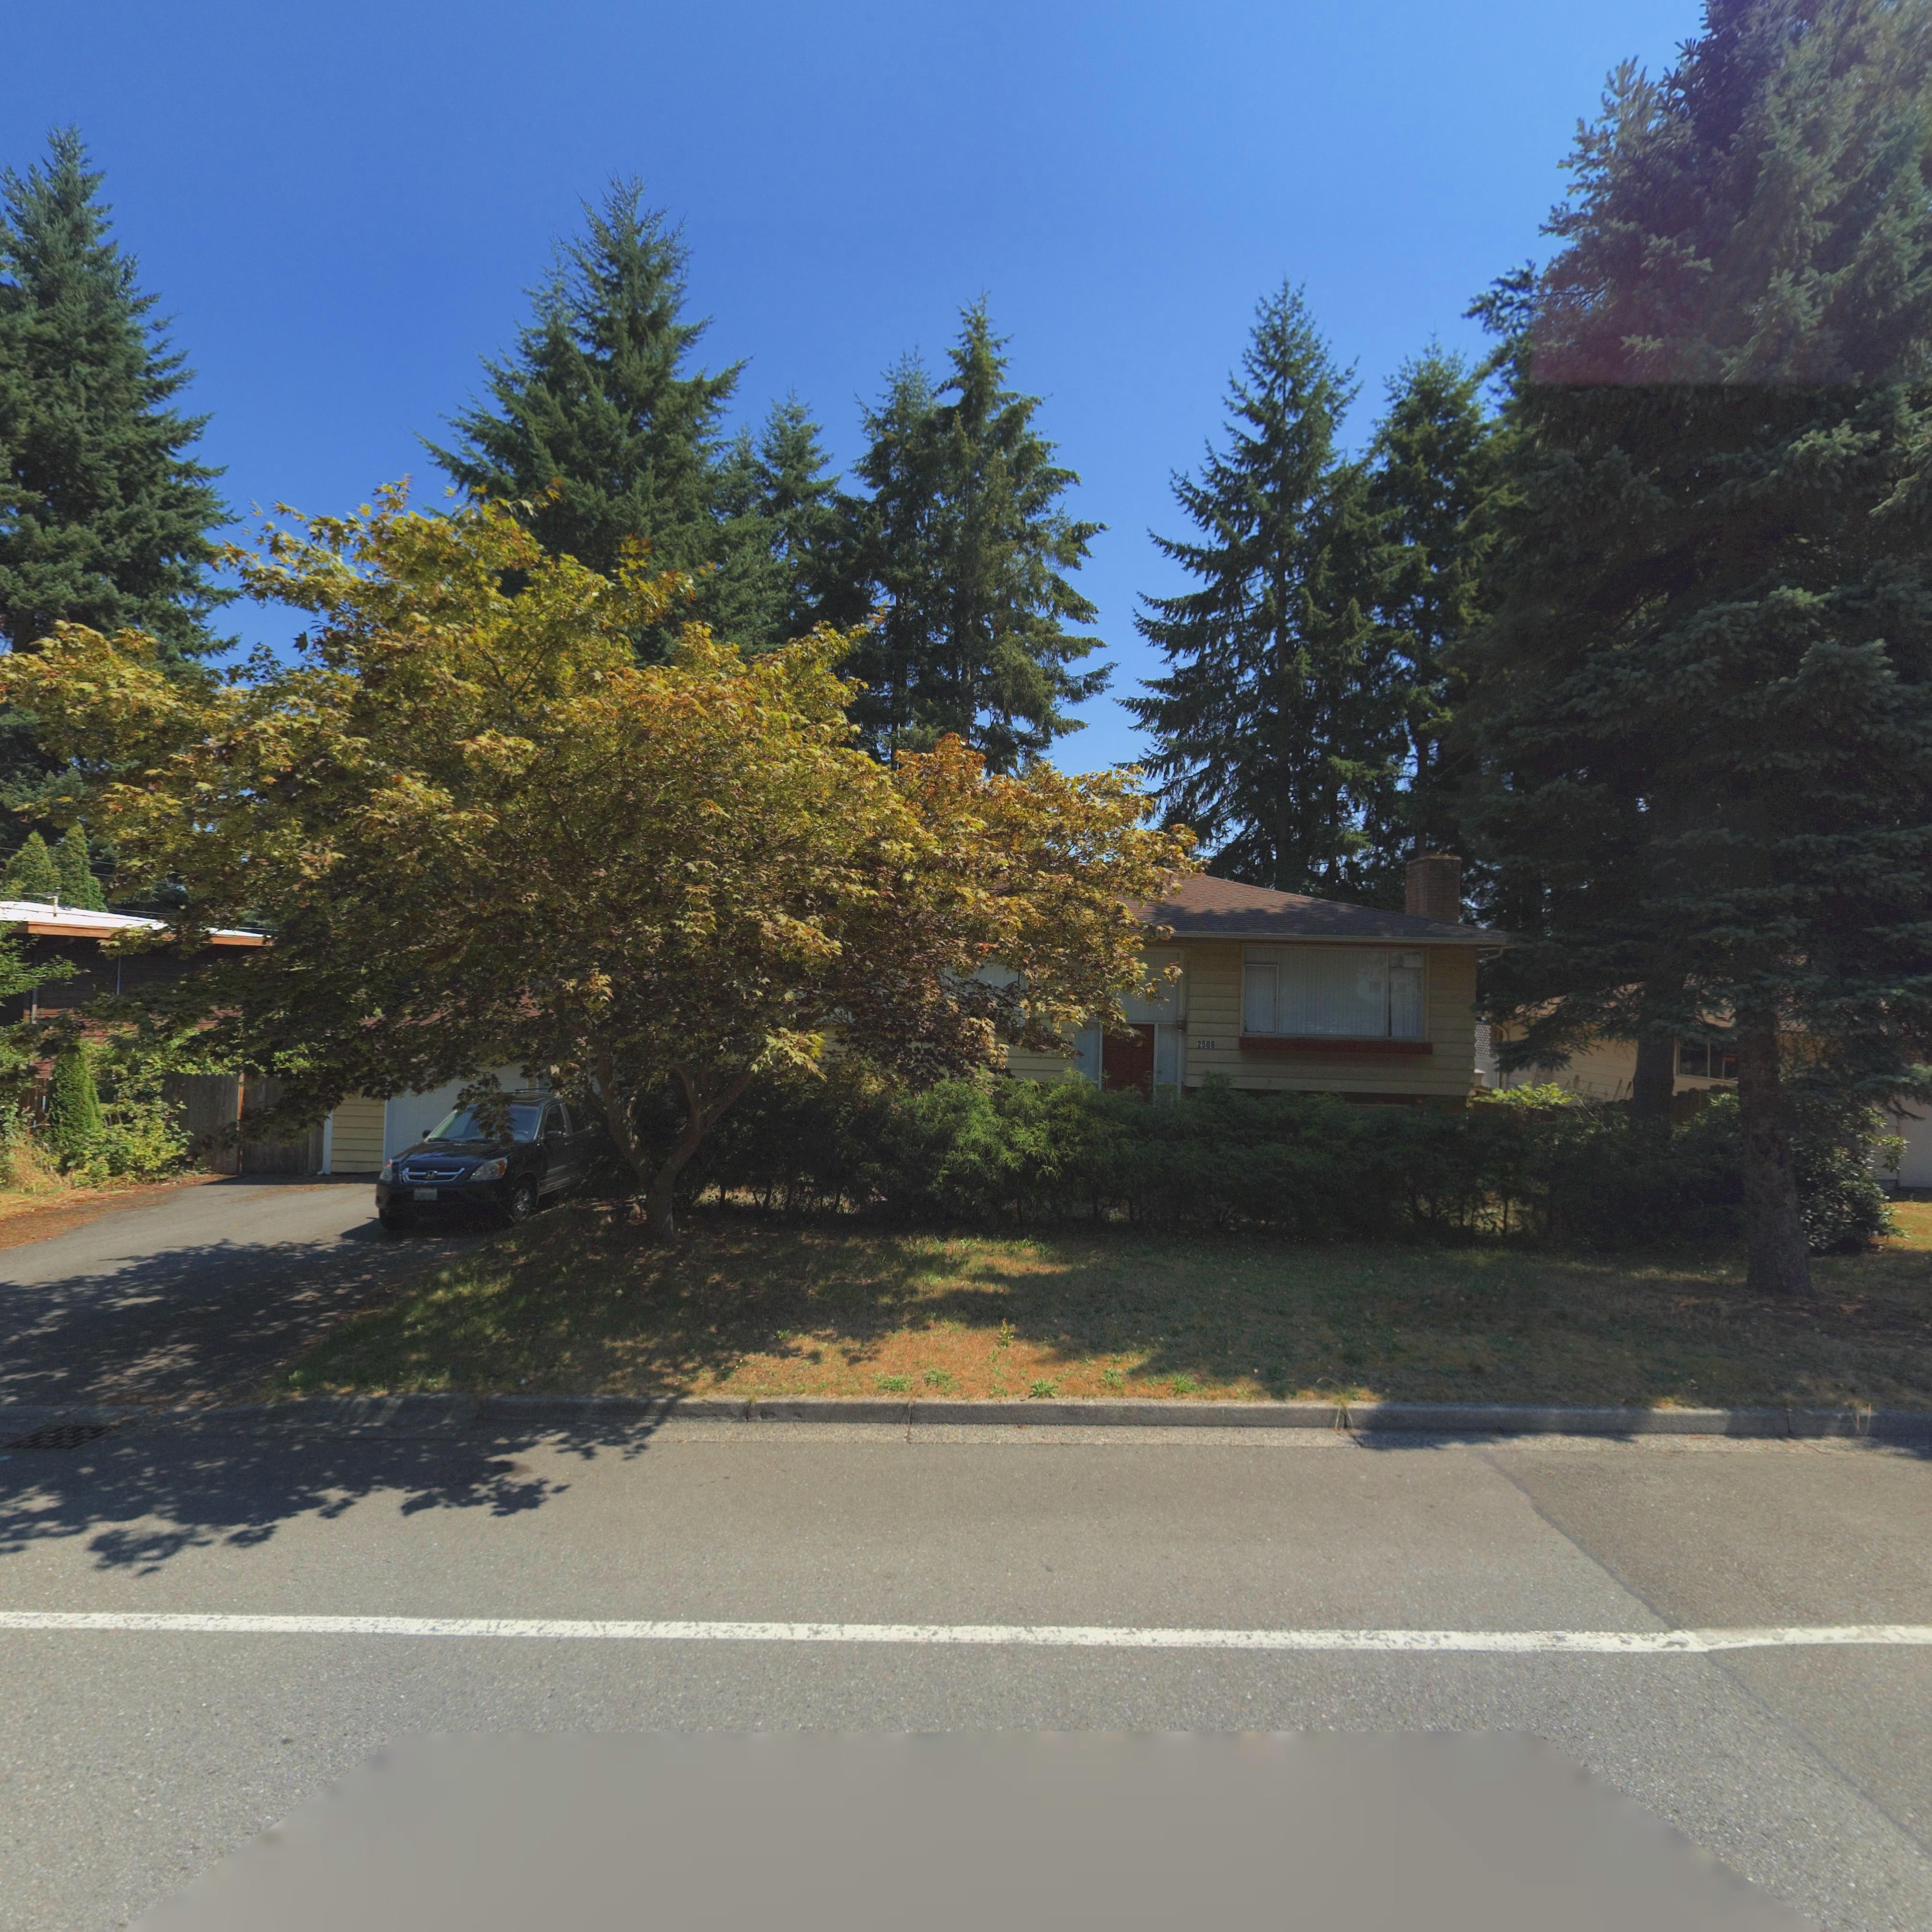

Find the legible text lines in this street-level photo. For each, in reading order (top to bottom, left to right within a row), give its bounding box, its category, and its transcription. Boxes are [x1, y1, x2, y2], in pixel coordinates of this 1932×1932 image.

[1197, 1040, 1215, 1048] StreetNumber: 25008